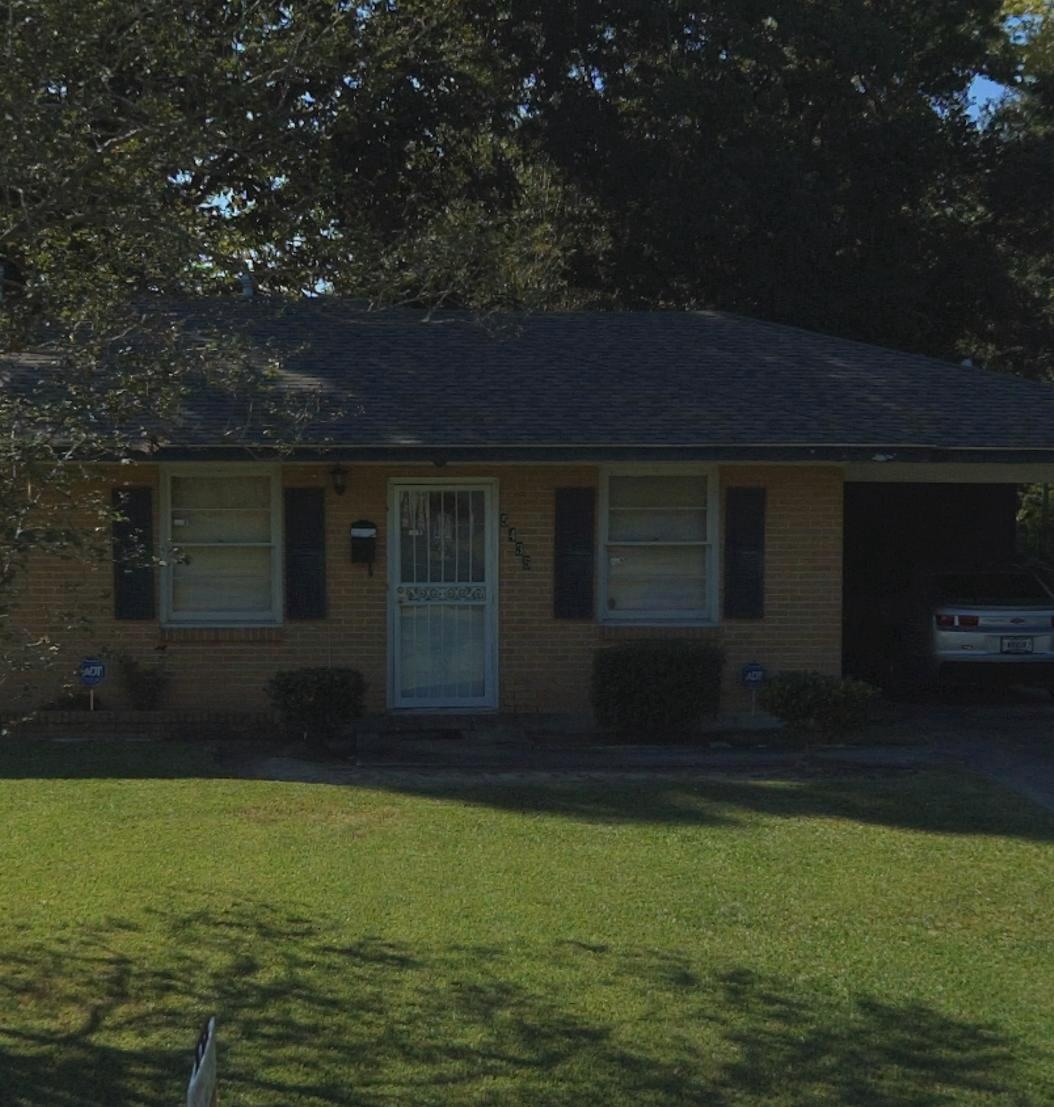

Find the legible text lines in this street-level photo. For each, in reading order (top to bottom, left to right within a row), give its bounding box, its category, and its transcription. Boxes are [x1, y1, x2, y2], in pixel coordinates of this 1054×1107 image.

[500, 514, 531, 570] StreetNumber: 5435
[82, 665, 103, 676] None: ADT
[743, 671, 764, 681] None: ADT